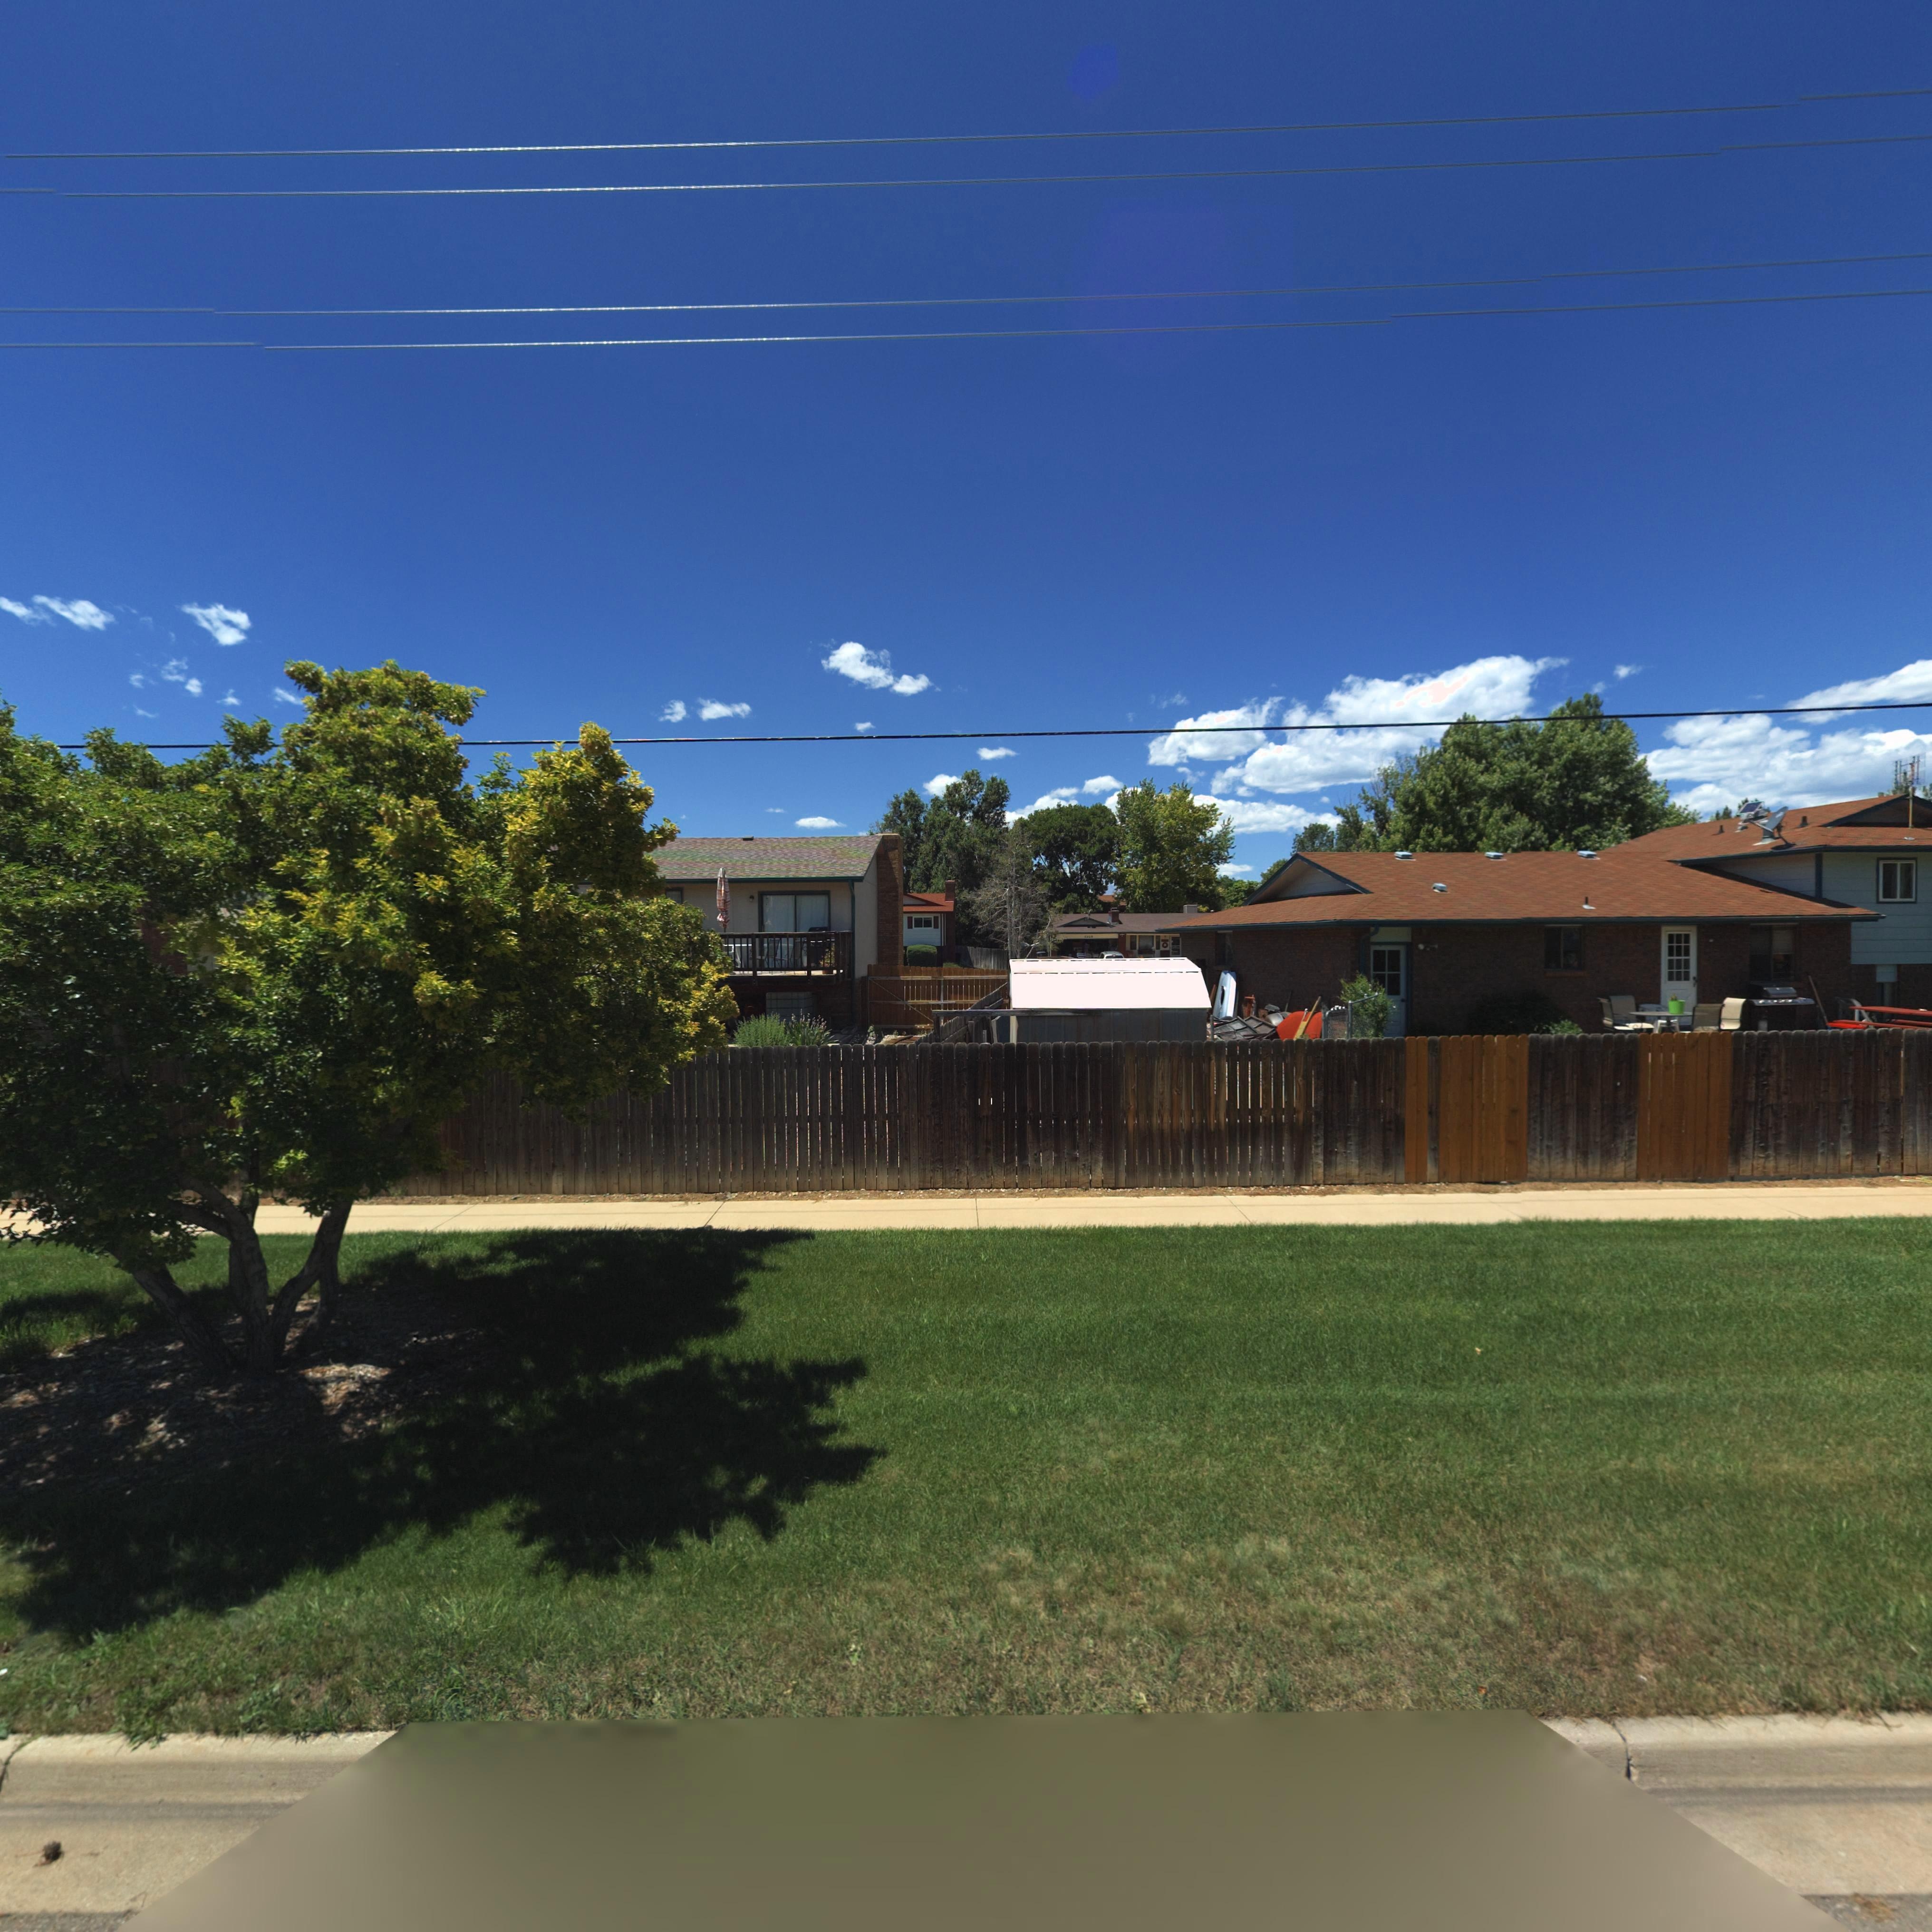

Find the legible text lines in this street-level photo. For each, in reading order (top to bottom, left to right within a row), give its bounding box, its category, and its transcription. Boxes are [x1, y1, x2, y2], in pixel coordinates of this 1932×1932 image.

[1084, 935, 1092, 938] StreetNumber: 6038